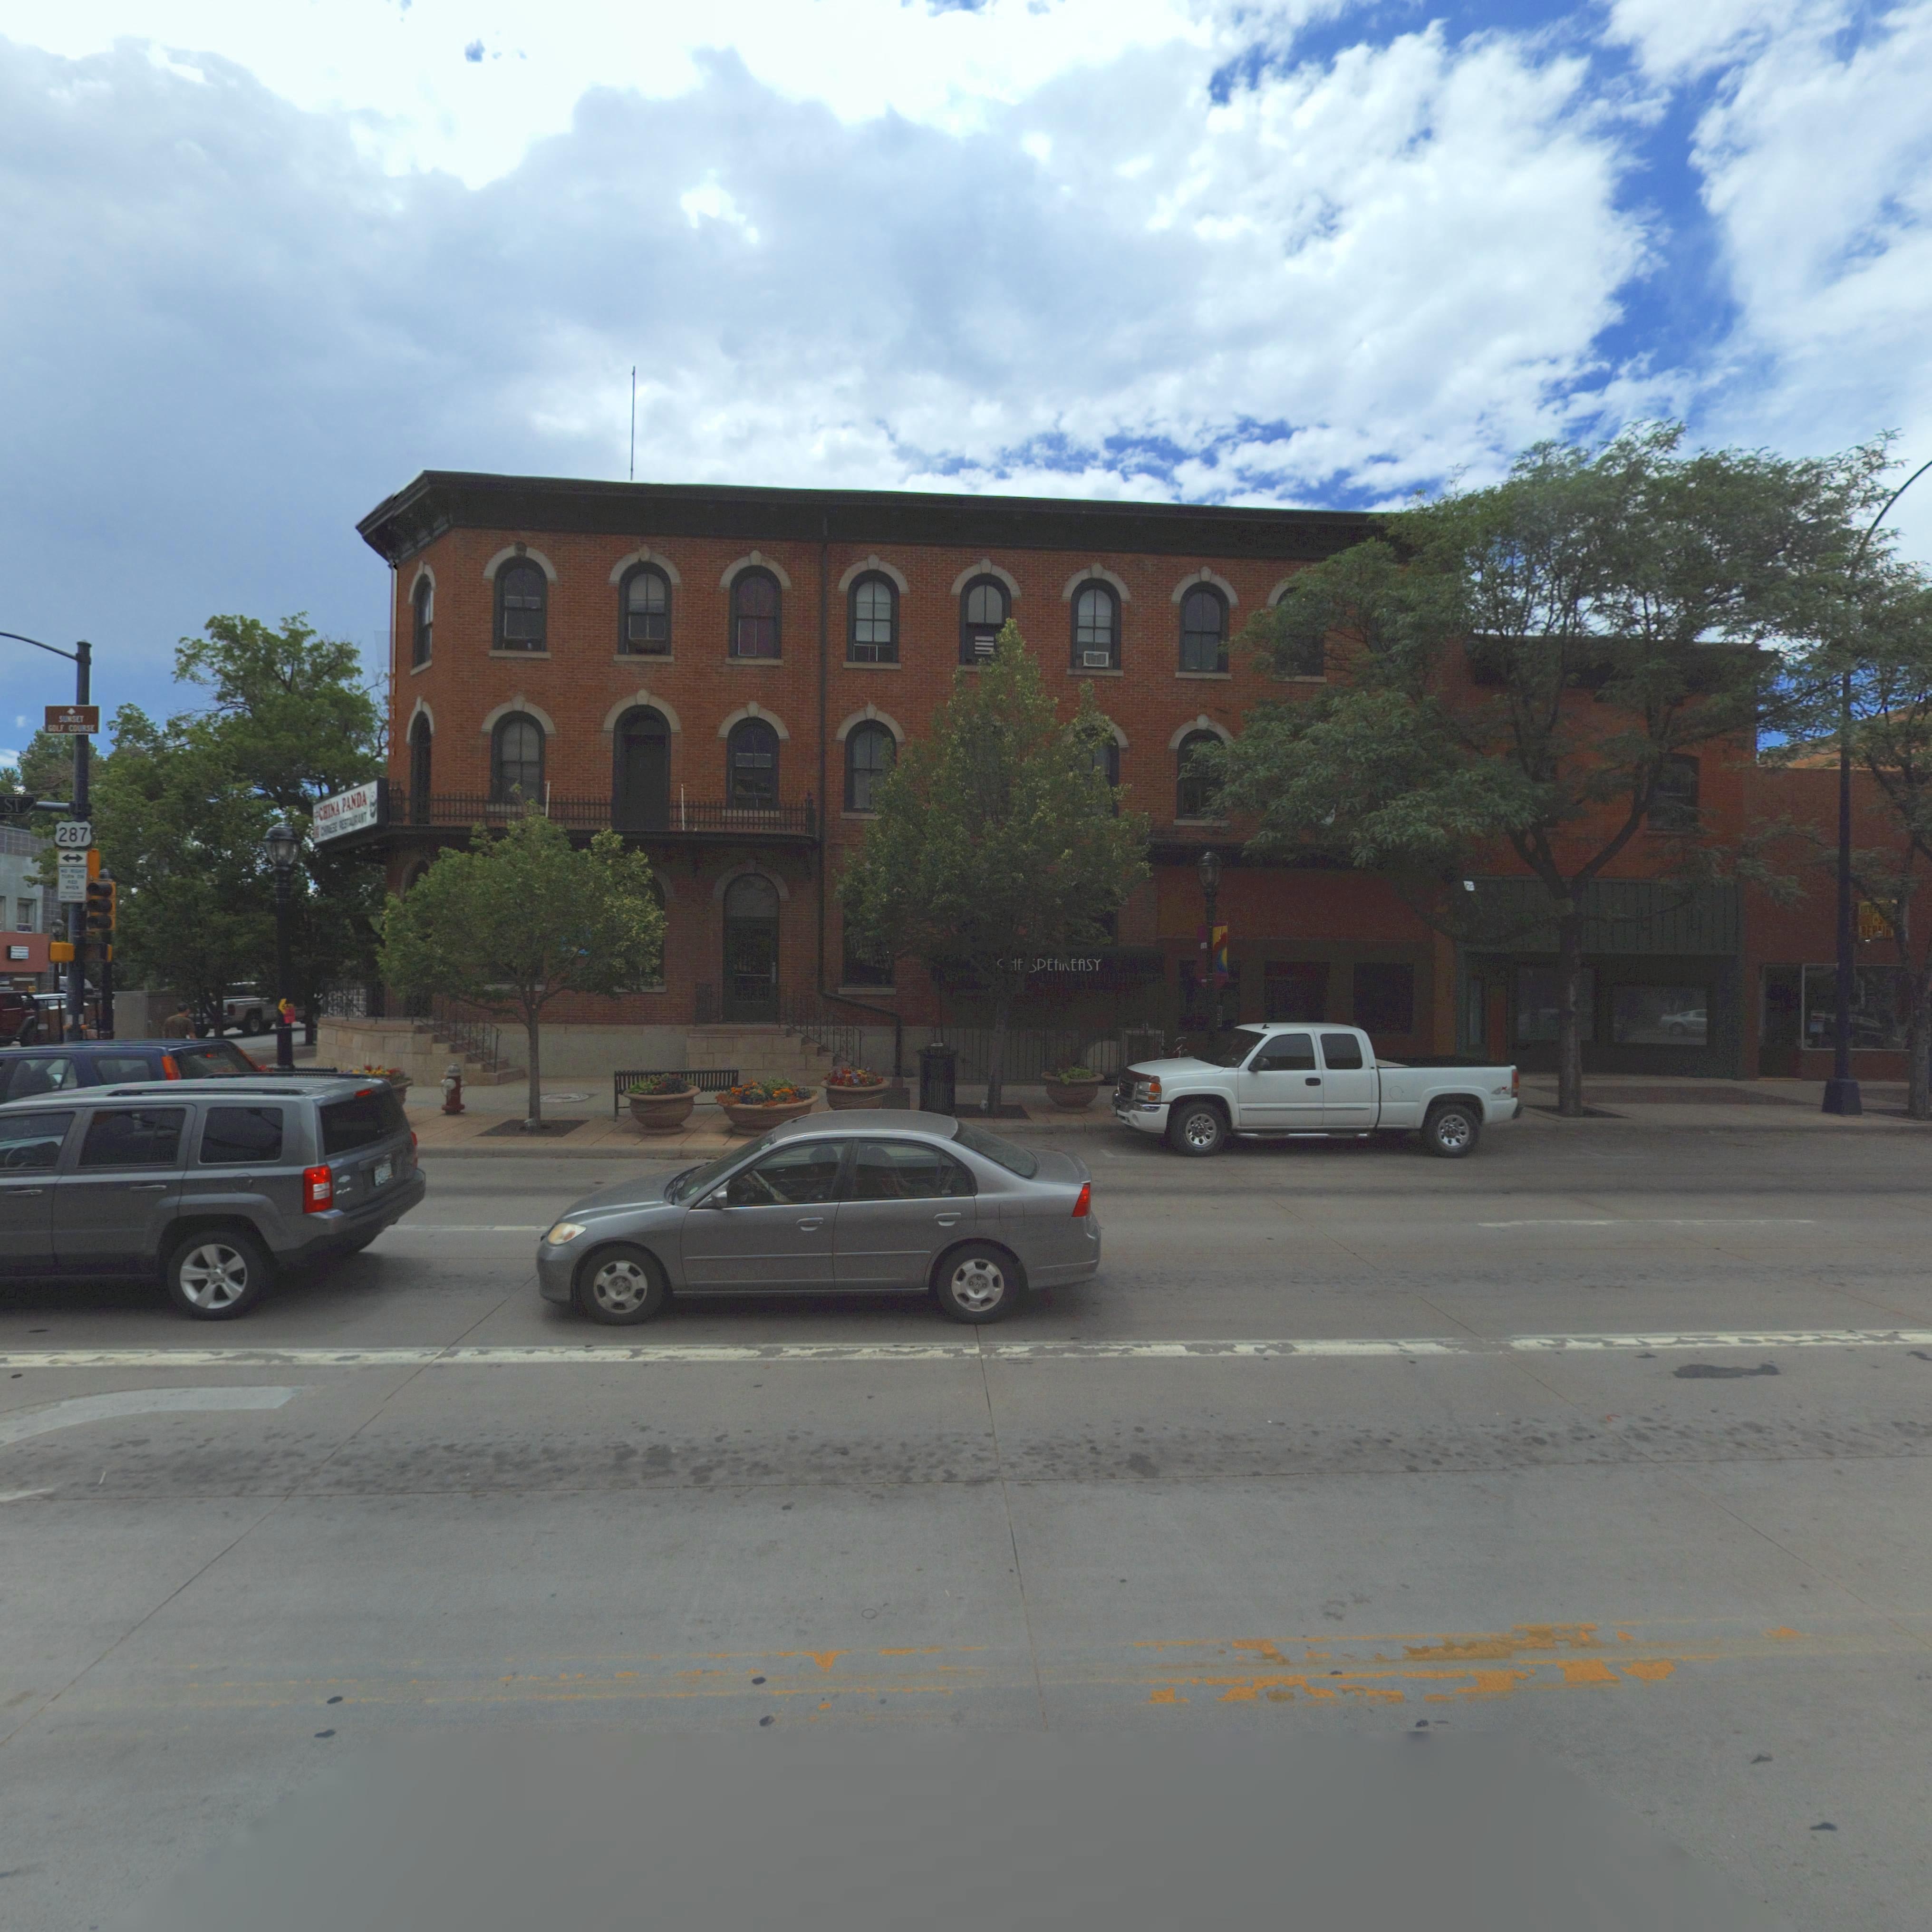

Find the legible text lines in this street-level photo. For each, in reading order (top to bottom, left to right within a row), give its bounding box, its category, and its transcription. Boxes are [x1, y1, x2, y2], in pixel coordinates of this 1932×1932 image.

[4, 797, 21, 812] StreetName: **** ST
[318, 790, 367, 821] BusinessName: CHINA PANDA
[995, 957, 1102, 973] BusinessName: **E SPEA*EASY